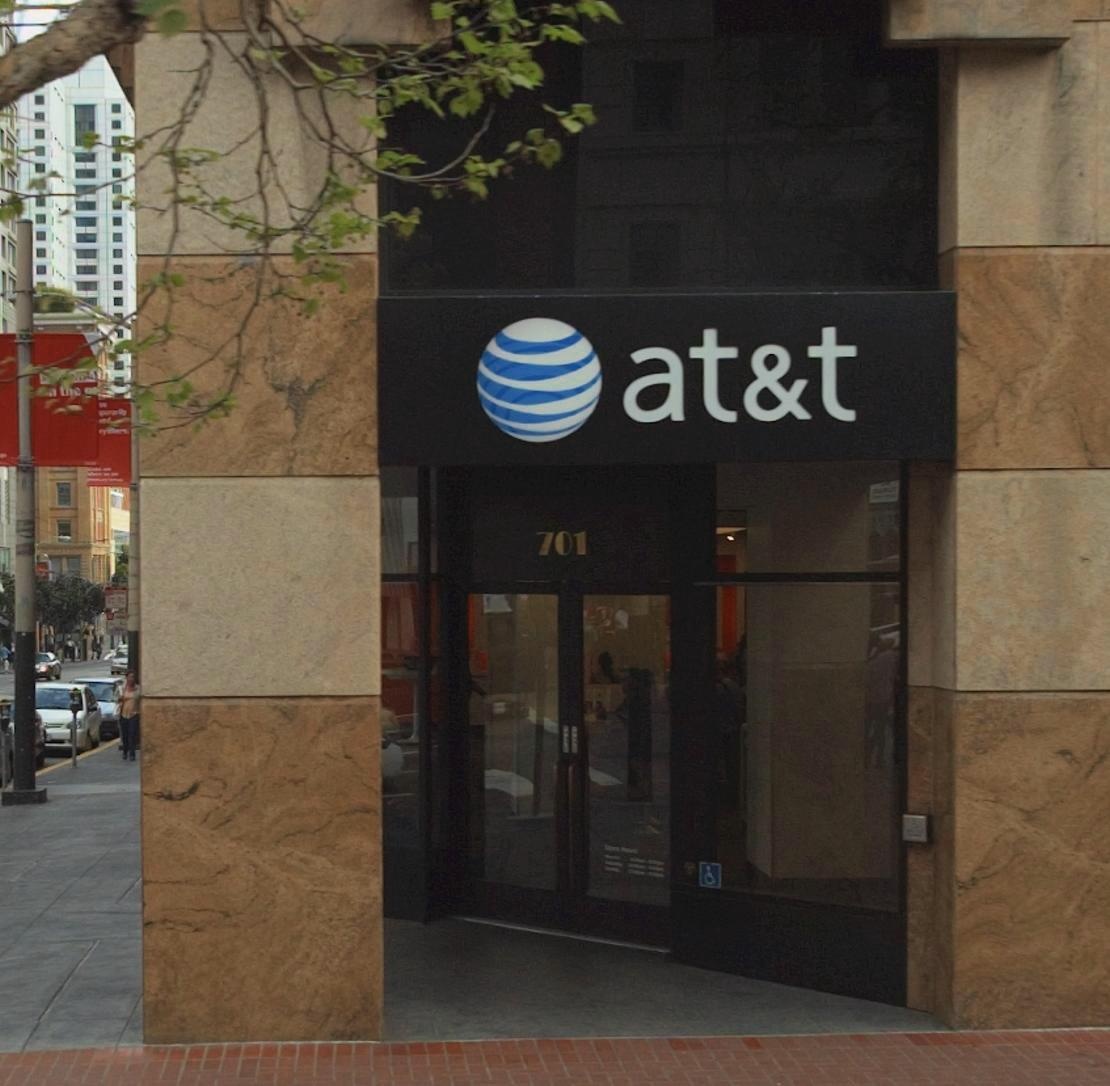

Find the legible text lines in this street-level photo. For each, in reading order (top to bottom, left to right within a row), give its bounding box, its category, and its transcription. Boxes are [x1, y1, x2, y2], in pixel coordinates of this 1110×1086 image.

[621, 324, 859, 426] BusinessName: at&t
[534, 529, 589, 557] StreetNumber: 701